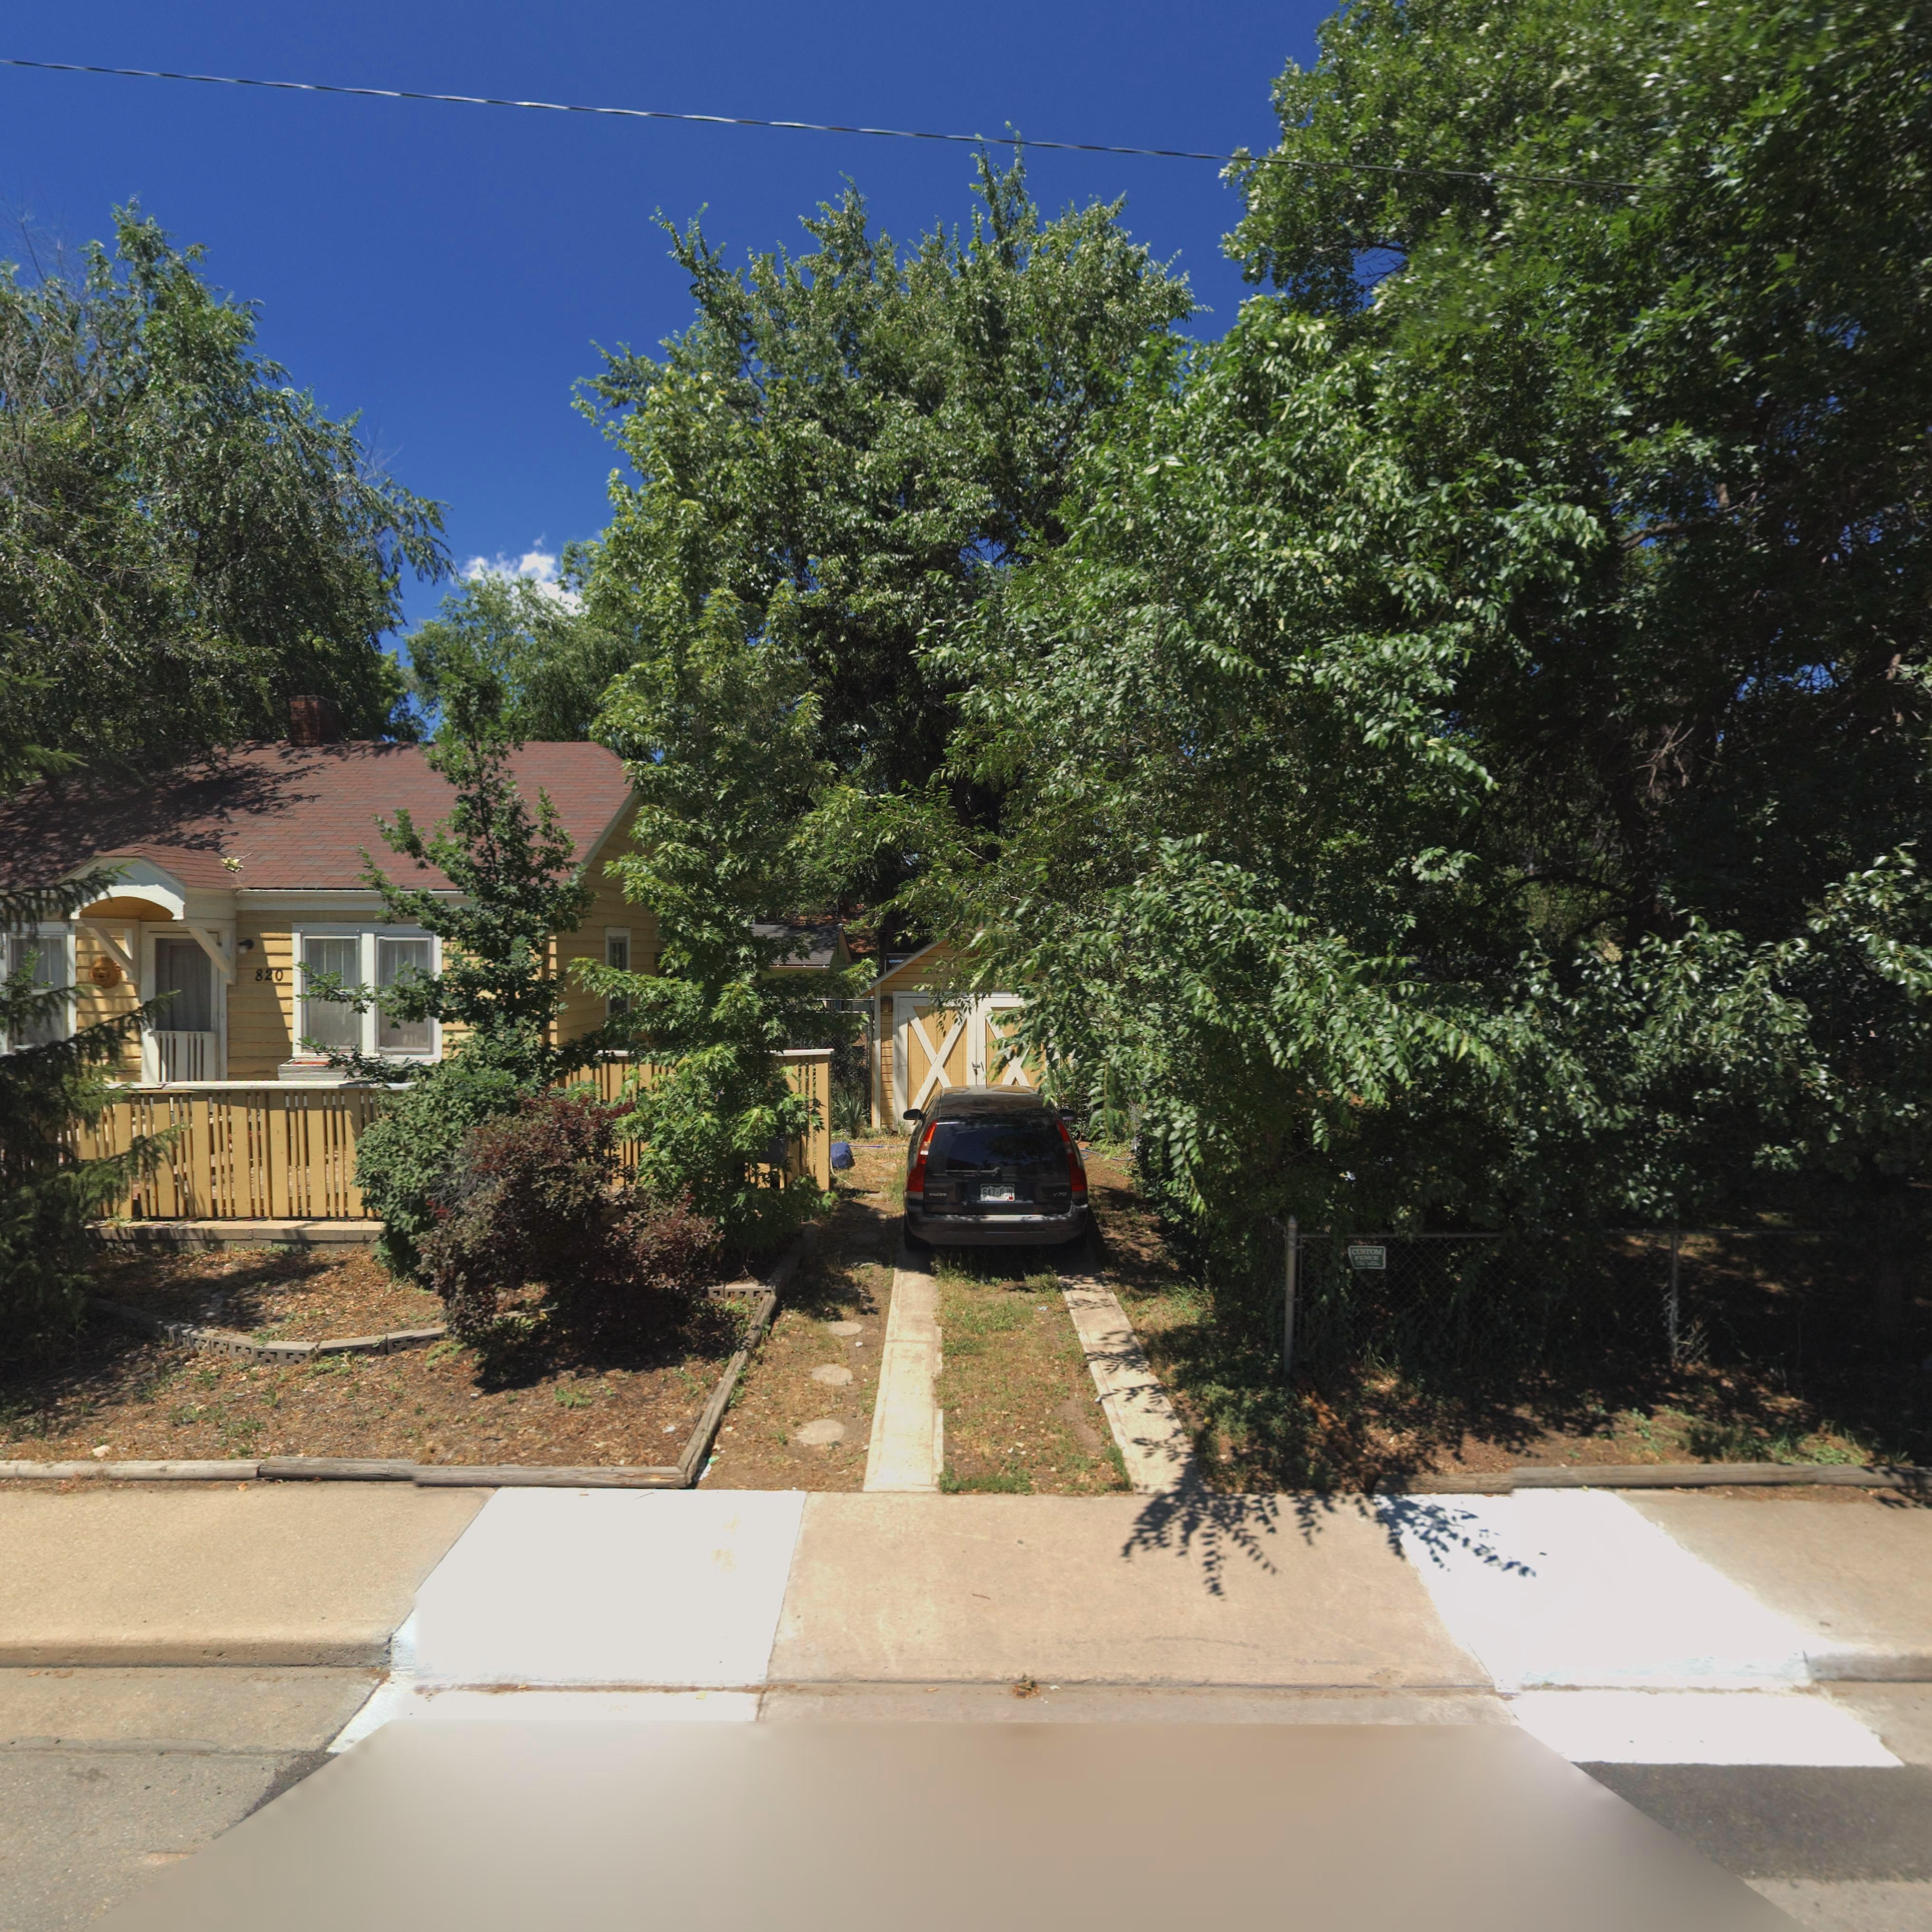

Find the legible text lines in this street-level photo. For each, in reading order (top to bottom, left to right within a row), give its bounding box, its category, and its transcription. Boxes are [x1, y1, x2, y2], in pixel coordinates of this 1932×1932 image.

[254, 968, 283, 982] StreetNumber: 820